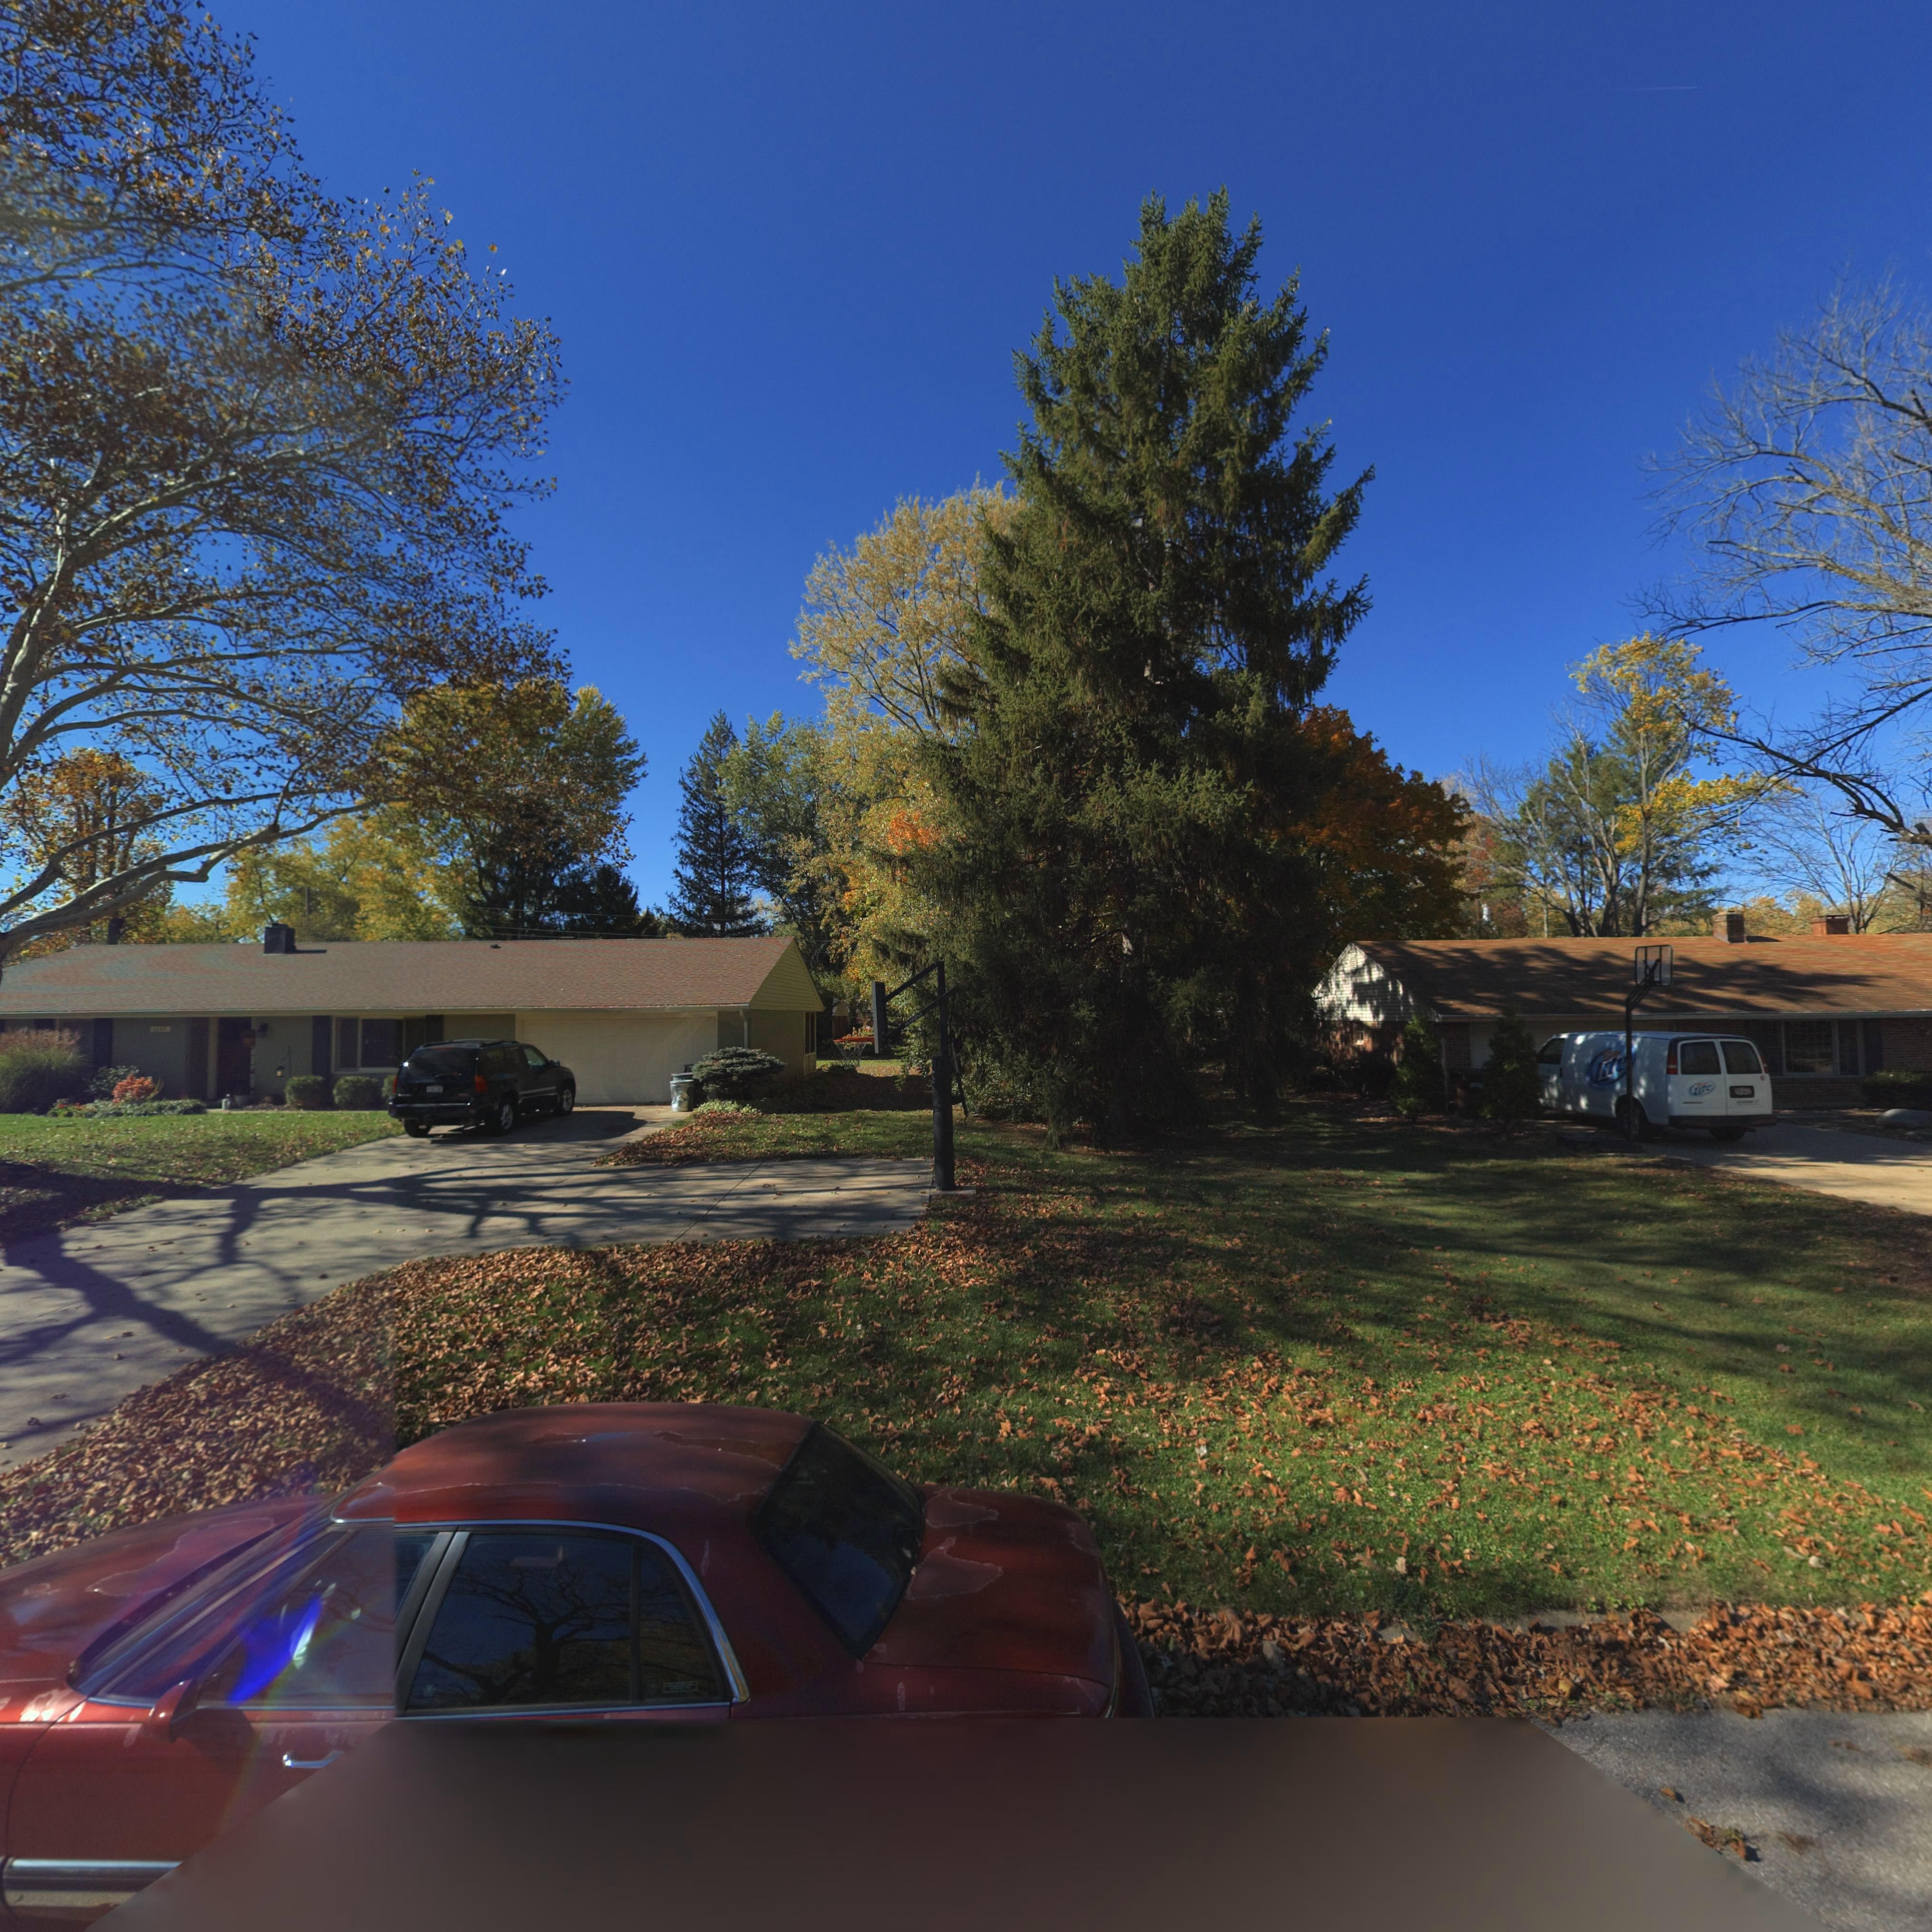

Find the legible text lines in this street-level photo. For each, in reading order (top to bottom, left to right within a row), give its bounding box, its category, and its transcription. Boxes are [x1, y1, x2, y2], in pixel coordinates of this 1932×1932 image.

[152, 1026, 167, 1032] StreetNumber: 66*5
[1592, 1055, 1628, 1085] None: Lite
[1692, 1084, 1712, 1096] None: Lite